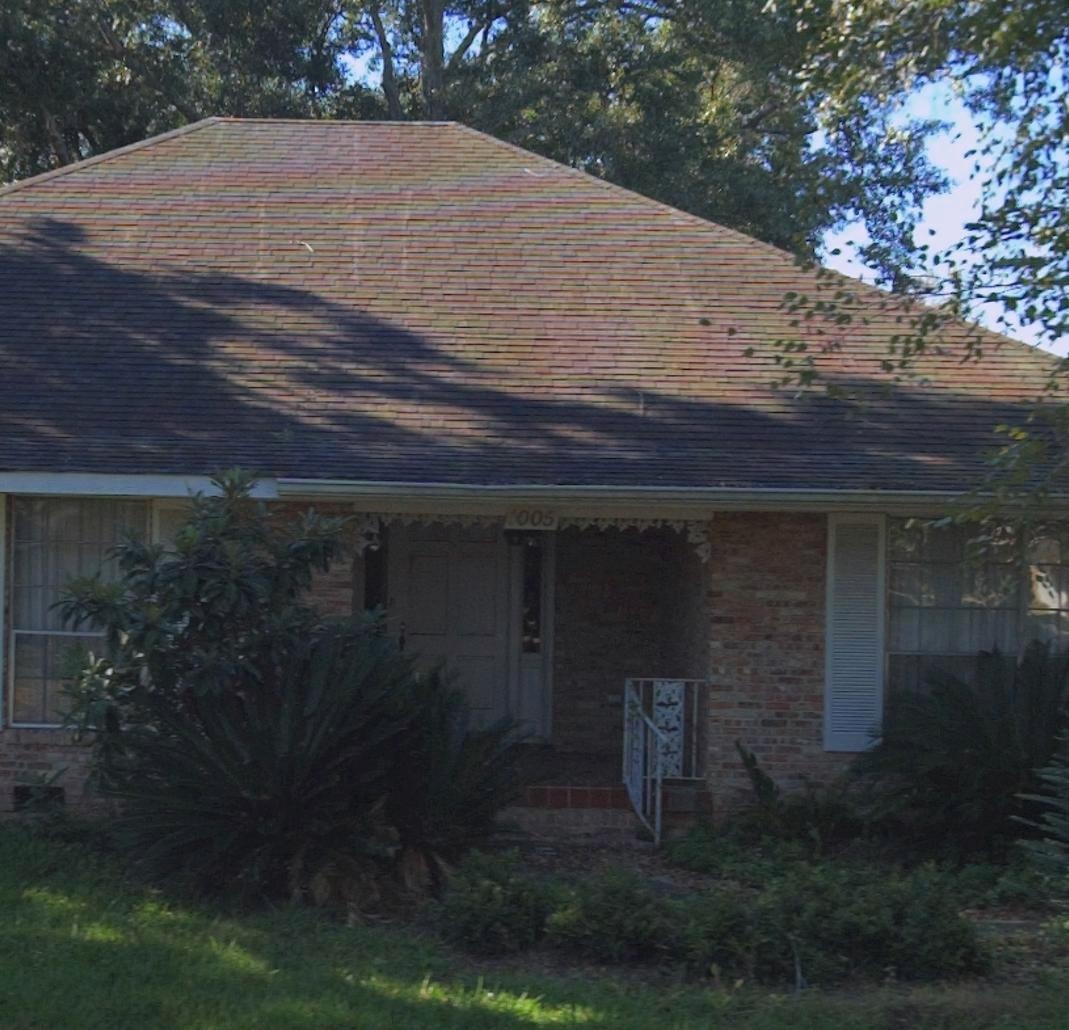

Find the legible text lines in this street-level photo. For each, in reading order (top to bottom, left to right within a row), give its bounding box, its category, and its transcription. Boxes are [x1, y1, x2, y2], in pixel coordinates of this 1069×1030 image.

[506, 508, 557, 527] StreetNumber: 1005